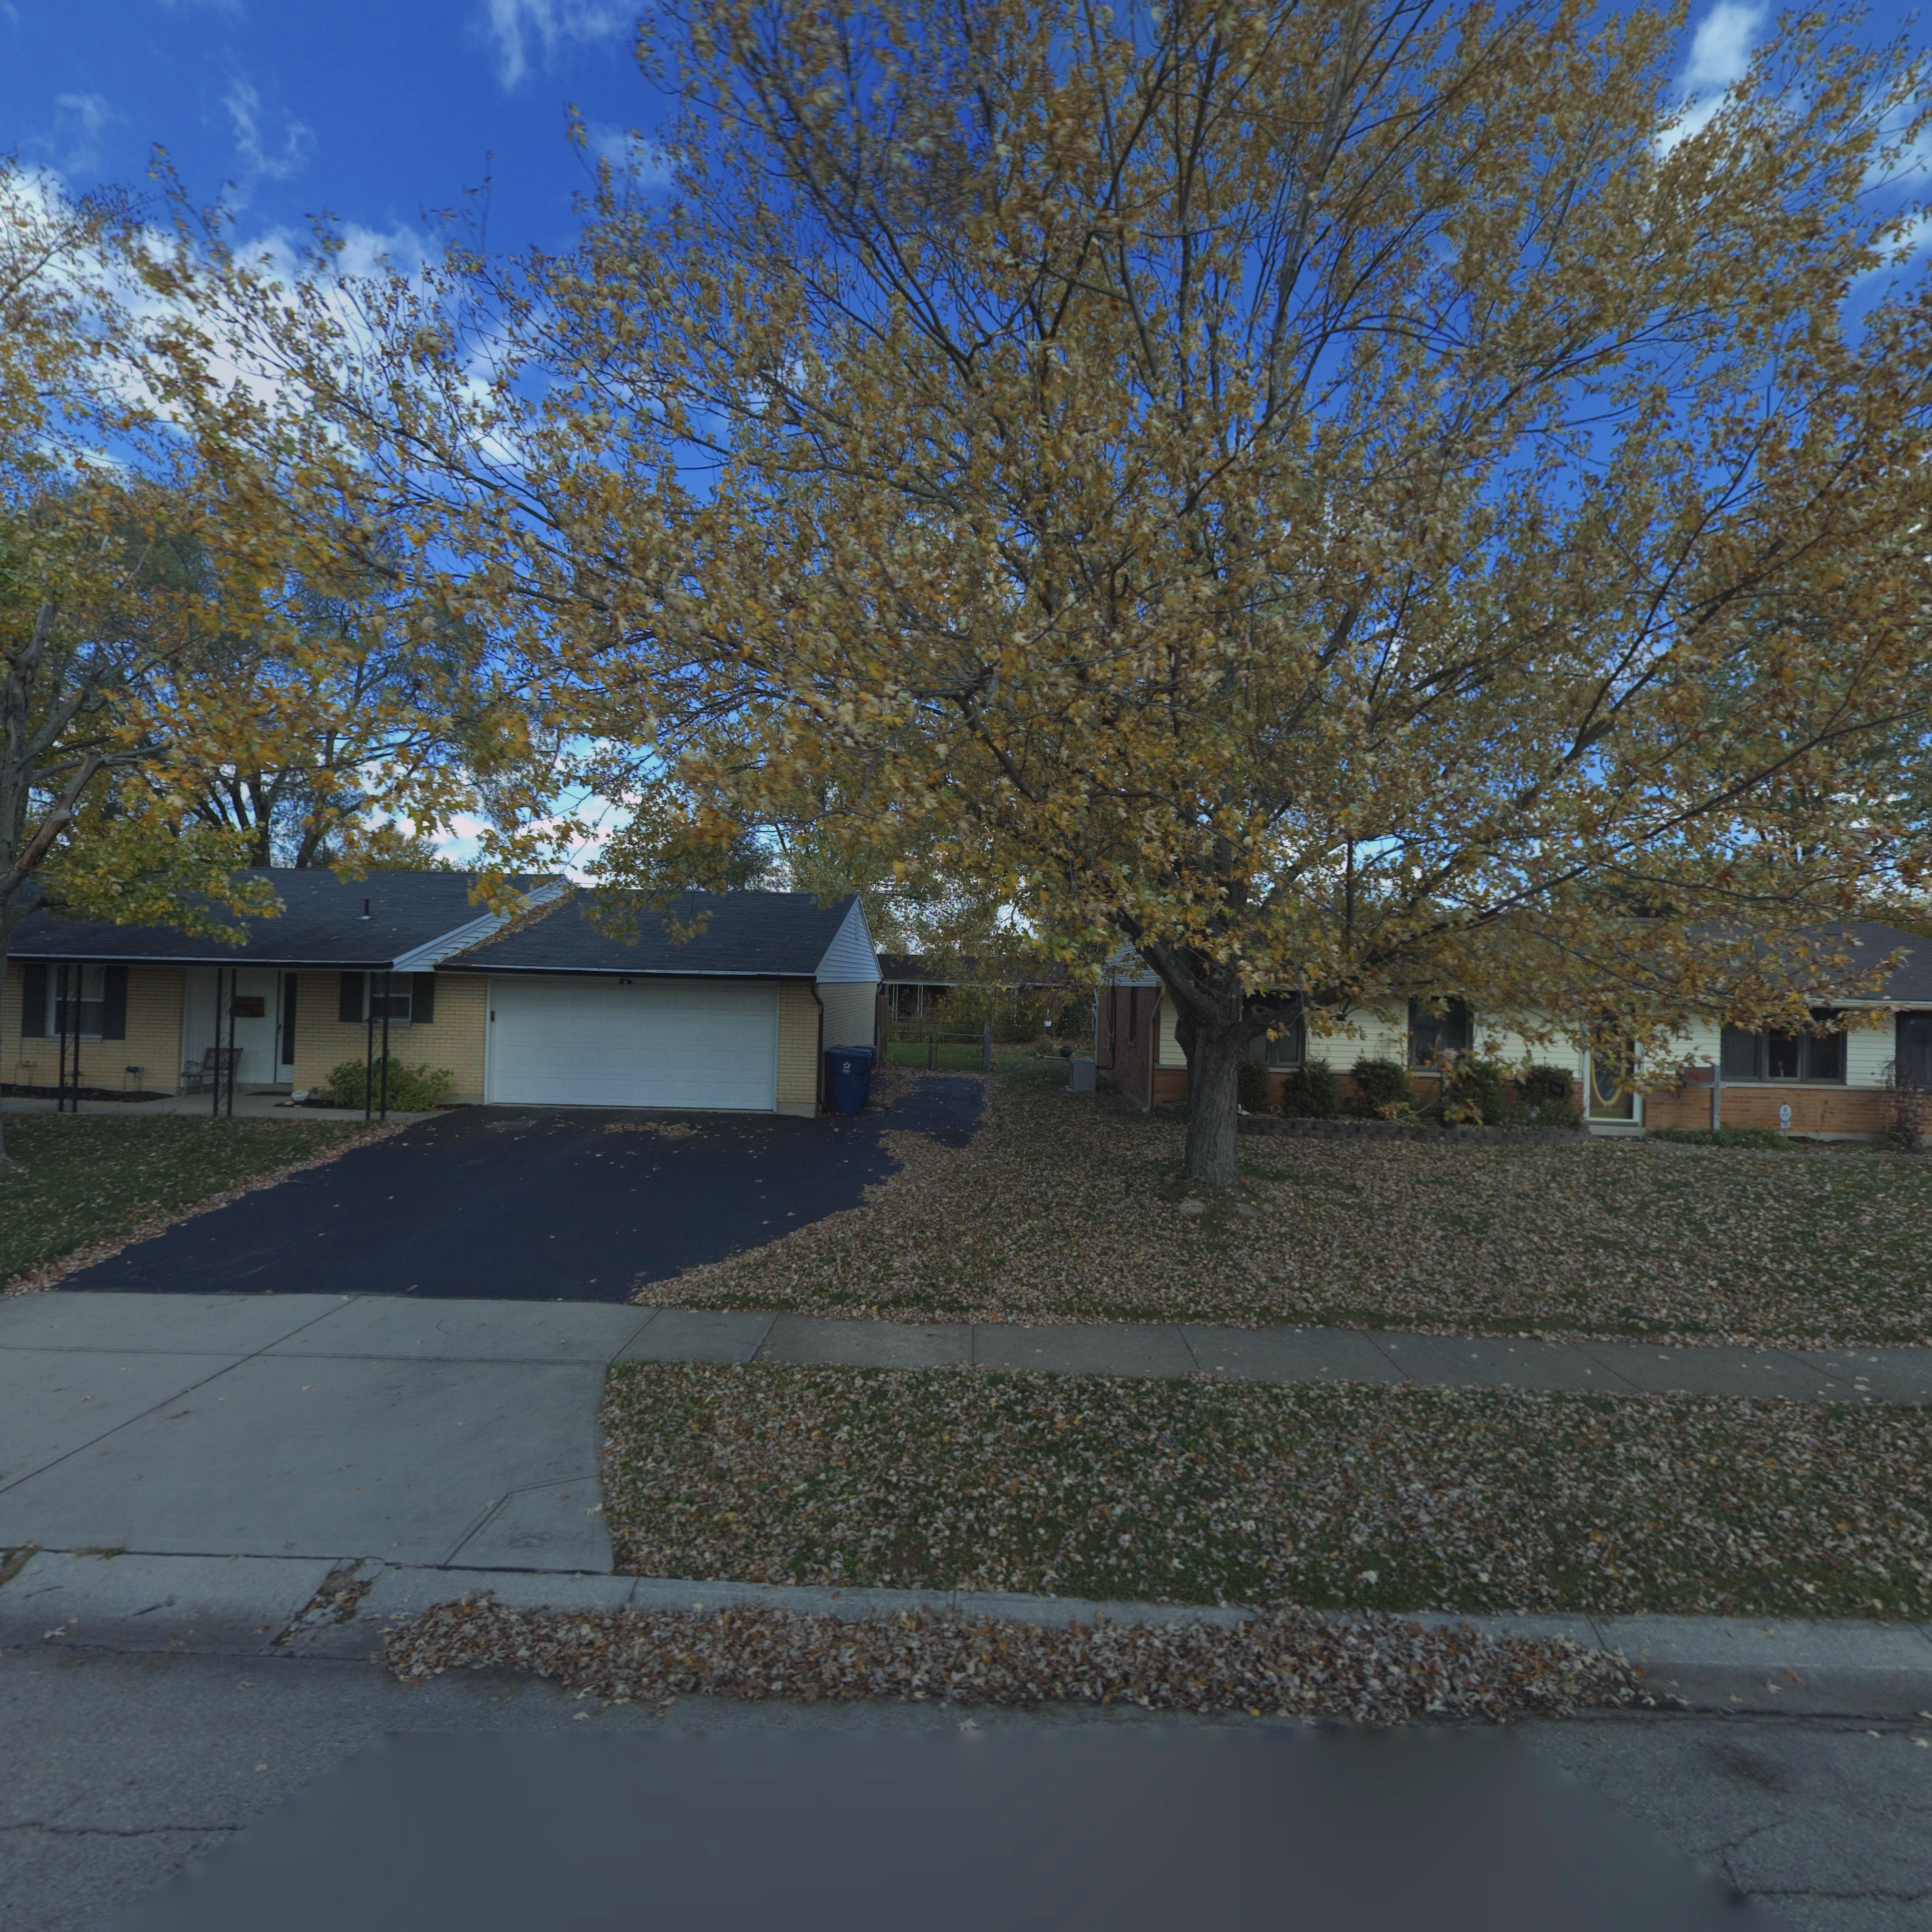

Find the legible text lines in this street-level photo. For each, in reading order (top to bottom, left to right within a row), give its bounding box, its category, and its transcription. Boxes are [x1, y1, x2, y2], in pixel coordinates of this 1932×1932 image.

[238, 1010, 248, 1017] StreetNumber: 85
[1551, 1083, 1562, 1094] StreetNumber: 7843
[1781, 1121, 1790, 1128] StreetNumber: 7***